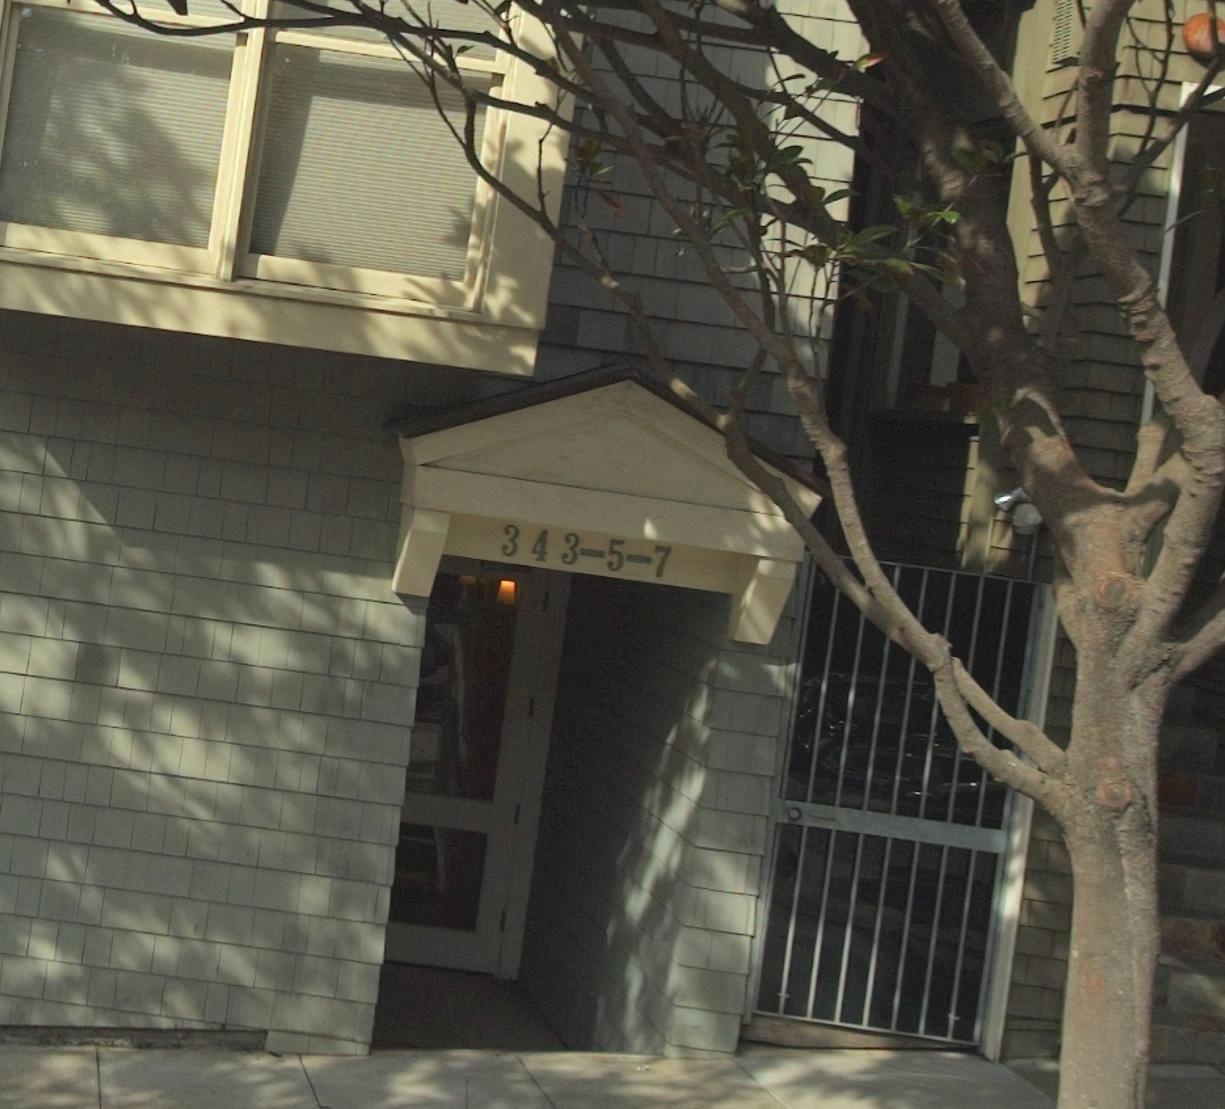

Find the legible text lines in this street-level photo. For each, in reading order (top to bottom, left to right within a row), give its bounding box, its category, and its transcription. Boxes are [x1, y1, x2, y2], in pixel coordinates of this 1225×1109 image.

[498, 520, 677, 581] StreetNumber: 343-5-7